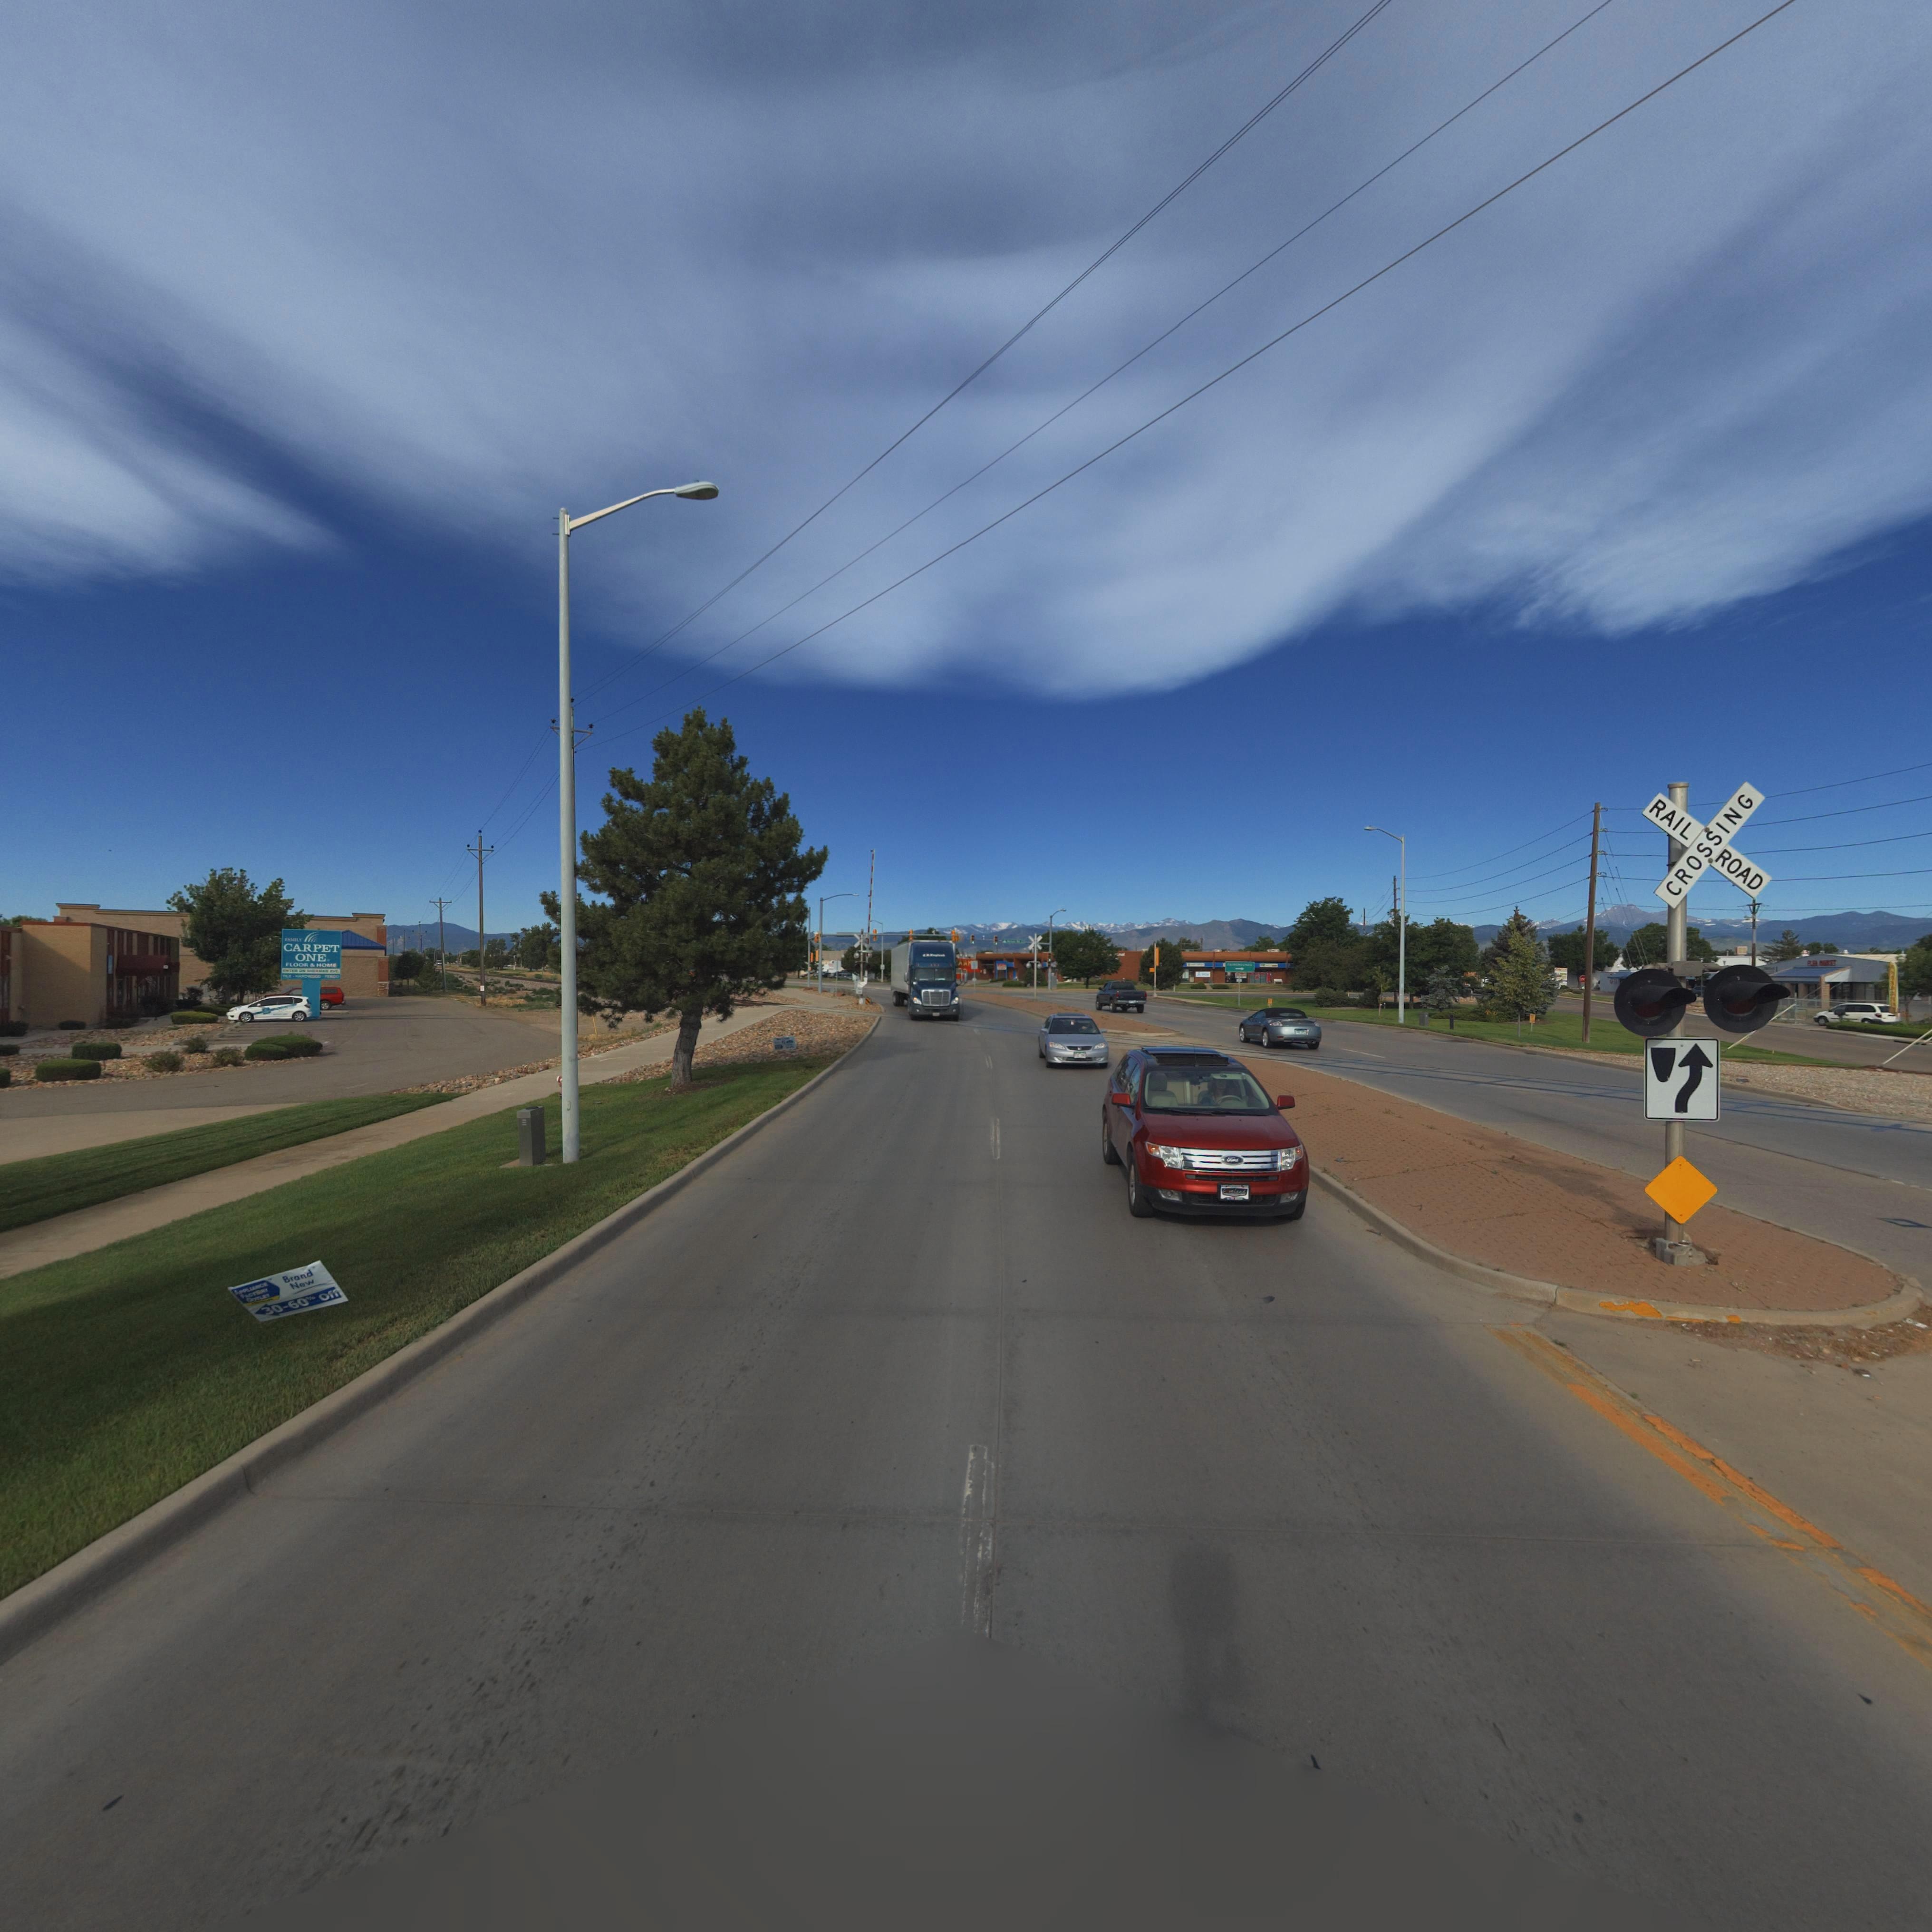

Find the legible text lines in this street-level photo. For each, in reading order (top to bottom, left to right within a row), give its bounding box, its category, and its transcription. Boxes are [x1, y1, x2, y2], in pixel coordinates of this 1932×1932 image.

[282, 943, 339, 953] BusinessName: CARPET
[294, 953, 326, 962] BusinessName: ONE